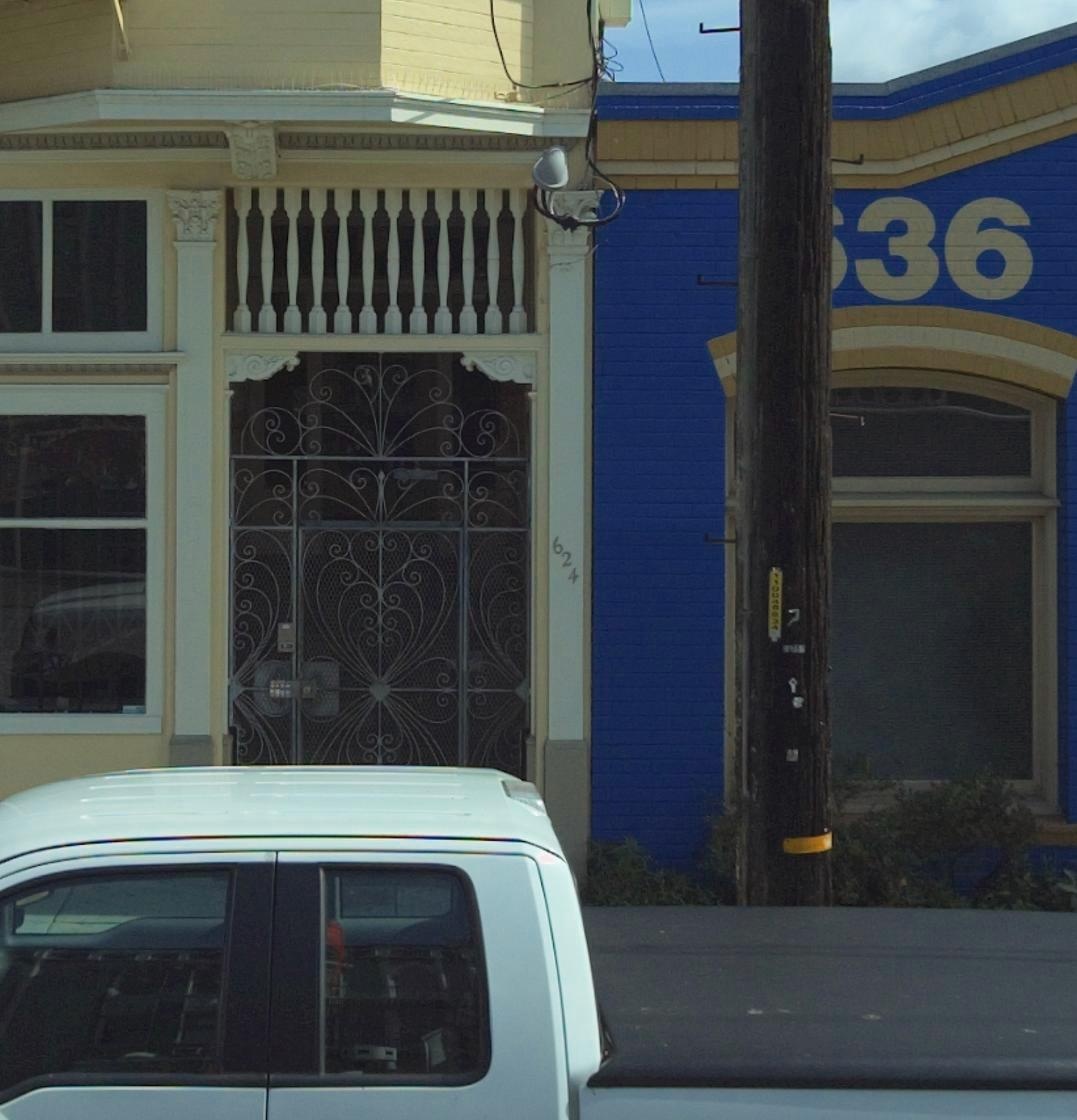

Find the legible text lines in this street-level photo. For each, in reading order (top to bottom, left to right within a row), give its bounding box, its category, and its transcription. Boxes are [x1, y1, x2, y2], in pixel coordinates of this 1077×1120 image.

[852, 193, 1038, 306] StreetNumber: 36
[549, 533, 581, 586] StreetNumber: 624
[768, 569, 782, 634] None: 1100*****